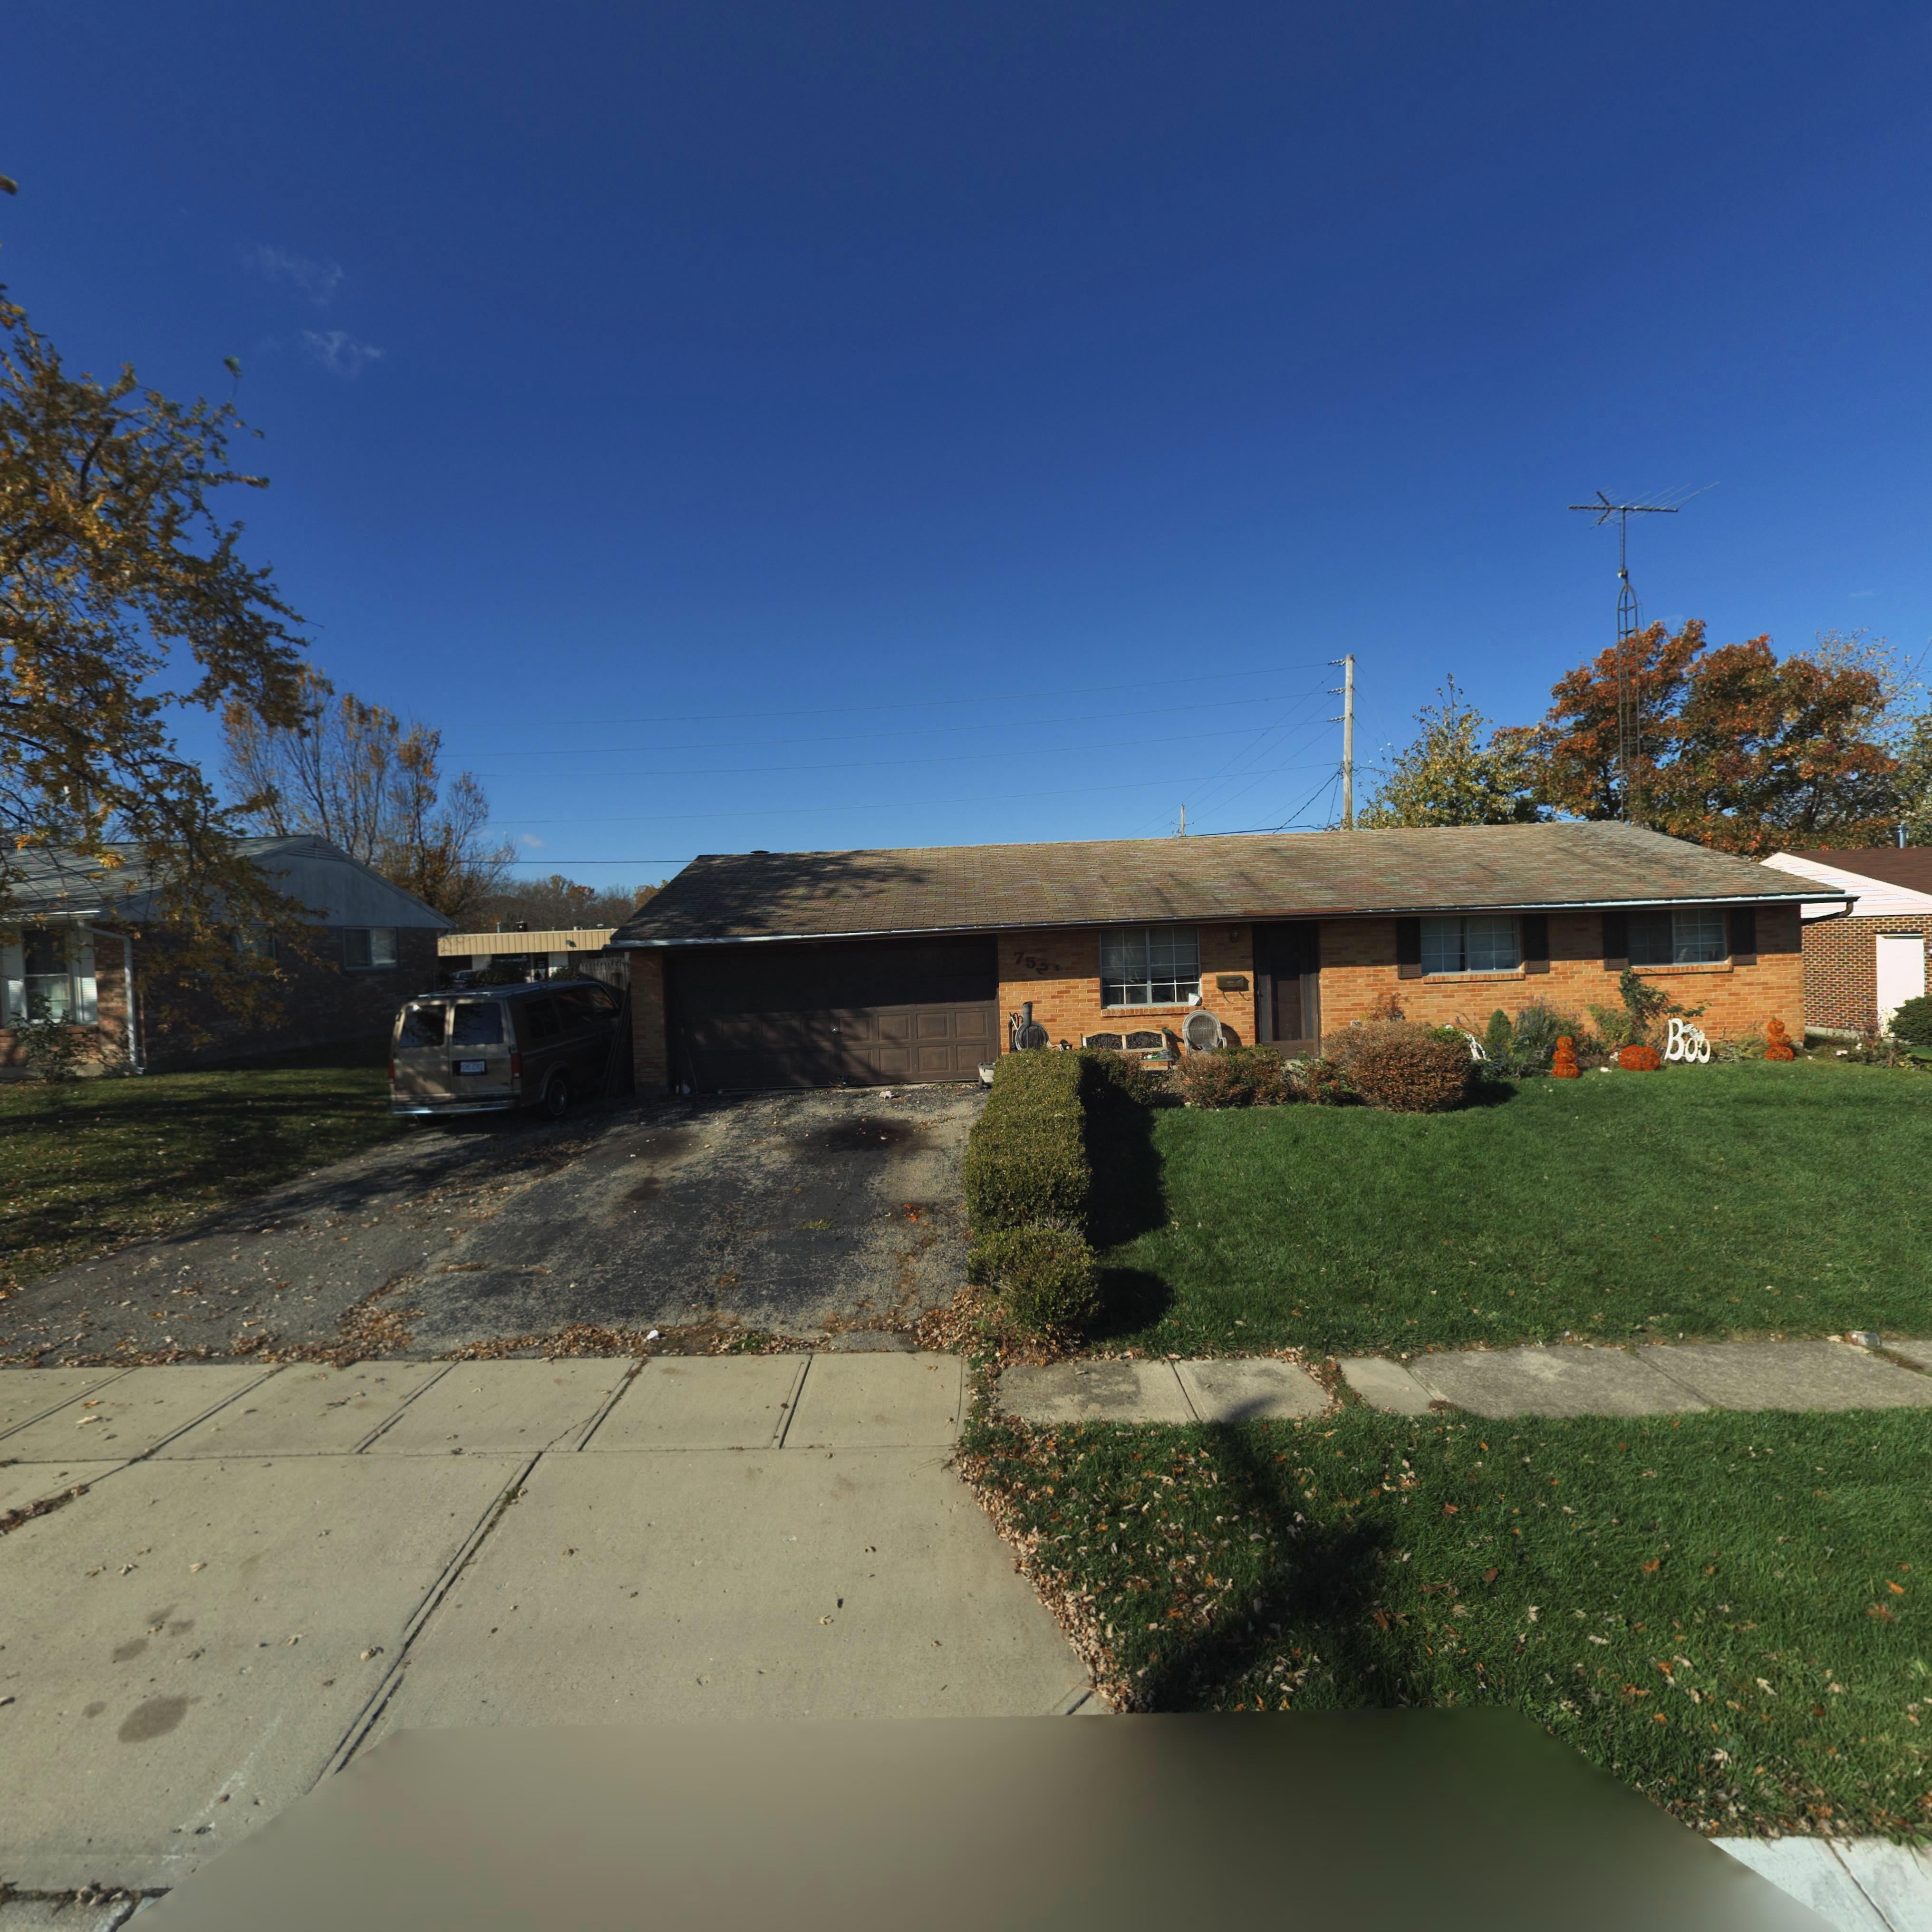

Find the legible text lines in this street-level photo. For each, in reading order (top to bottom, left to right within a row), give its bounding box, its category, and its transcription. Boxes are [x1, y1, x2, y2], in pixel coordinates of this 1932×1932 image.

[1013, 951, 1050, 976] StreetNumber: 752